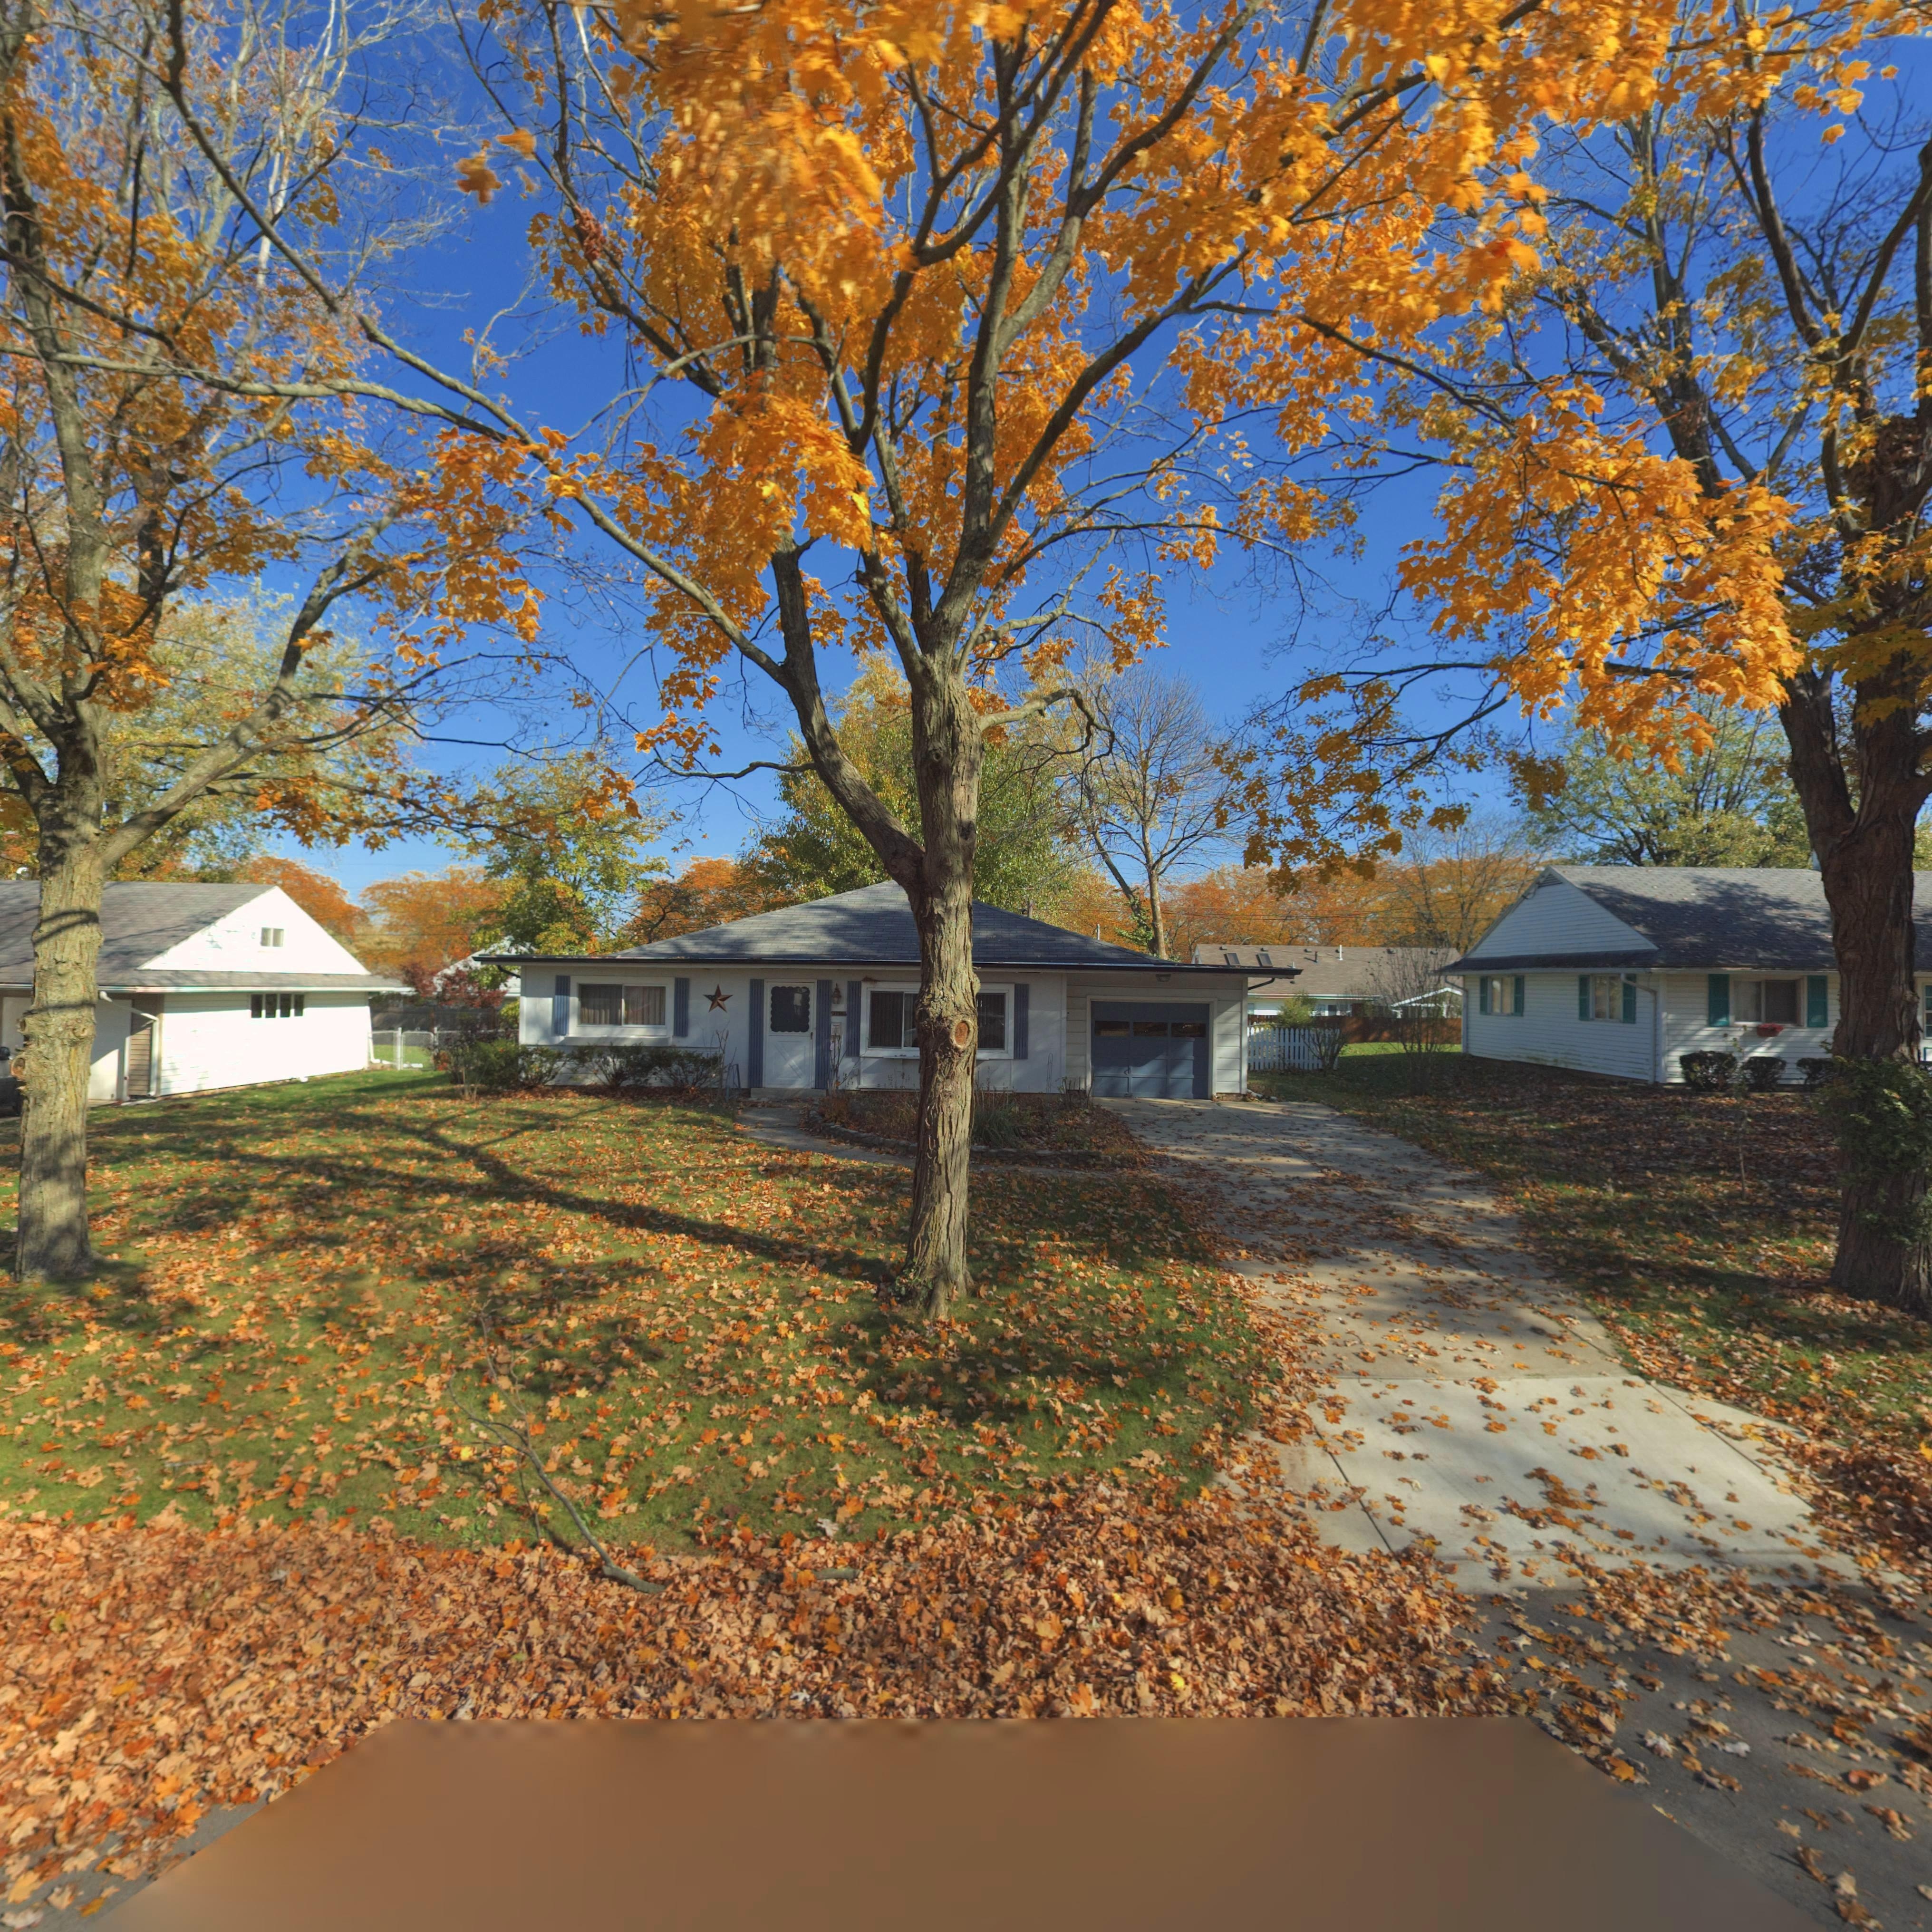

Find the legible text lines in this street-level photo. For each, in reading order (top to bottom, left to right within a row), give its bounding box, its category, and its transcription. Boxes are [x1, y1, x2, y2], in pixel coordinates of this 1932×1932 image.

[832, 1011, 843, 1015] StreetNumber: 3756